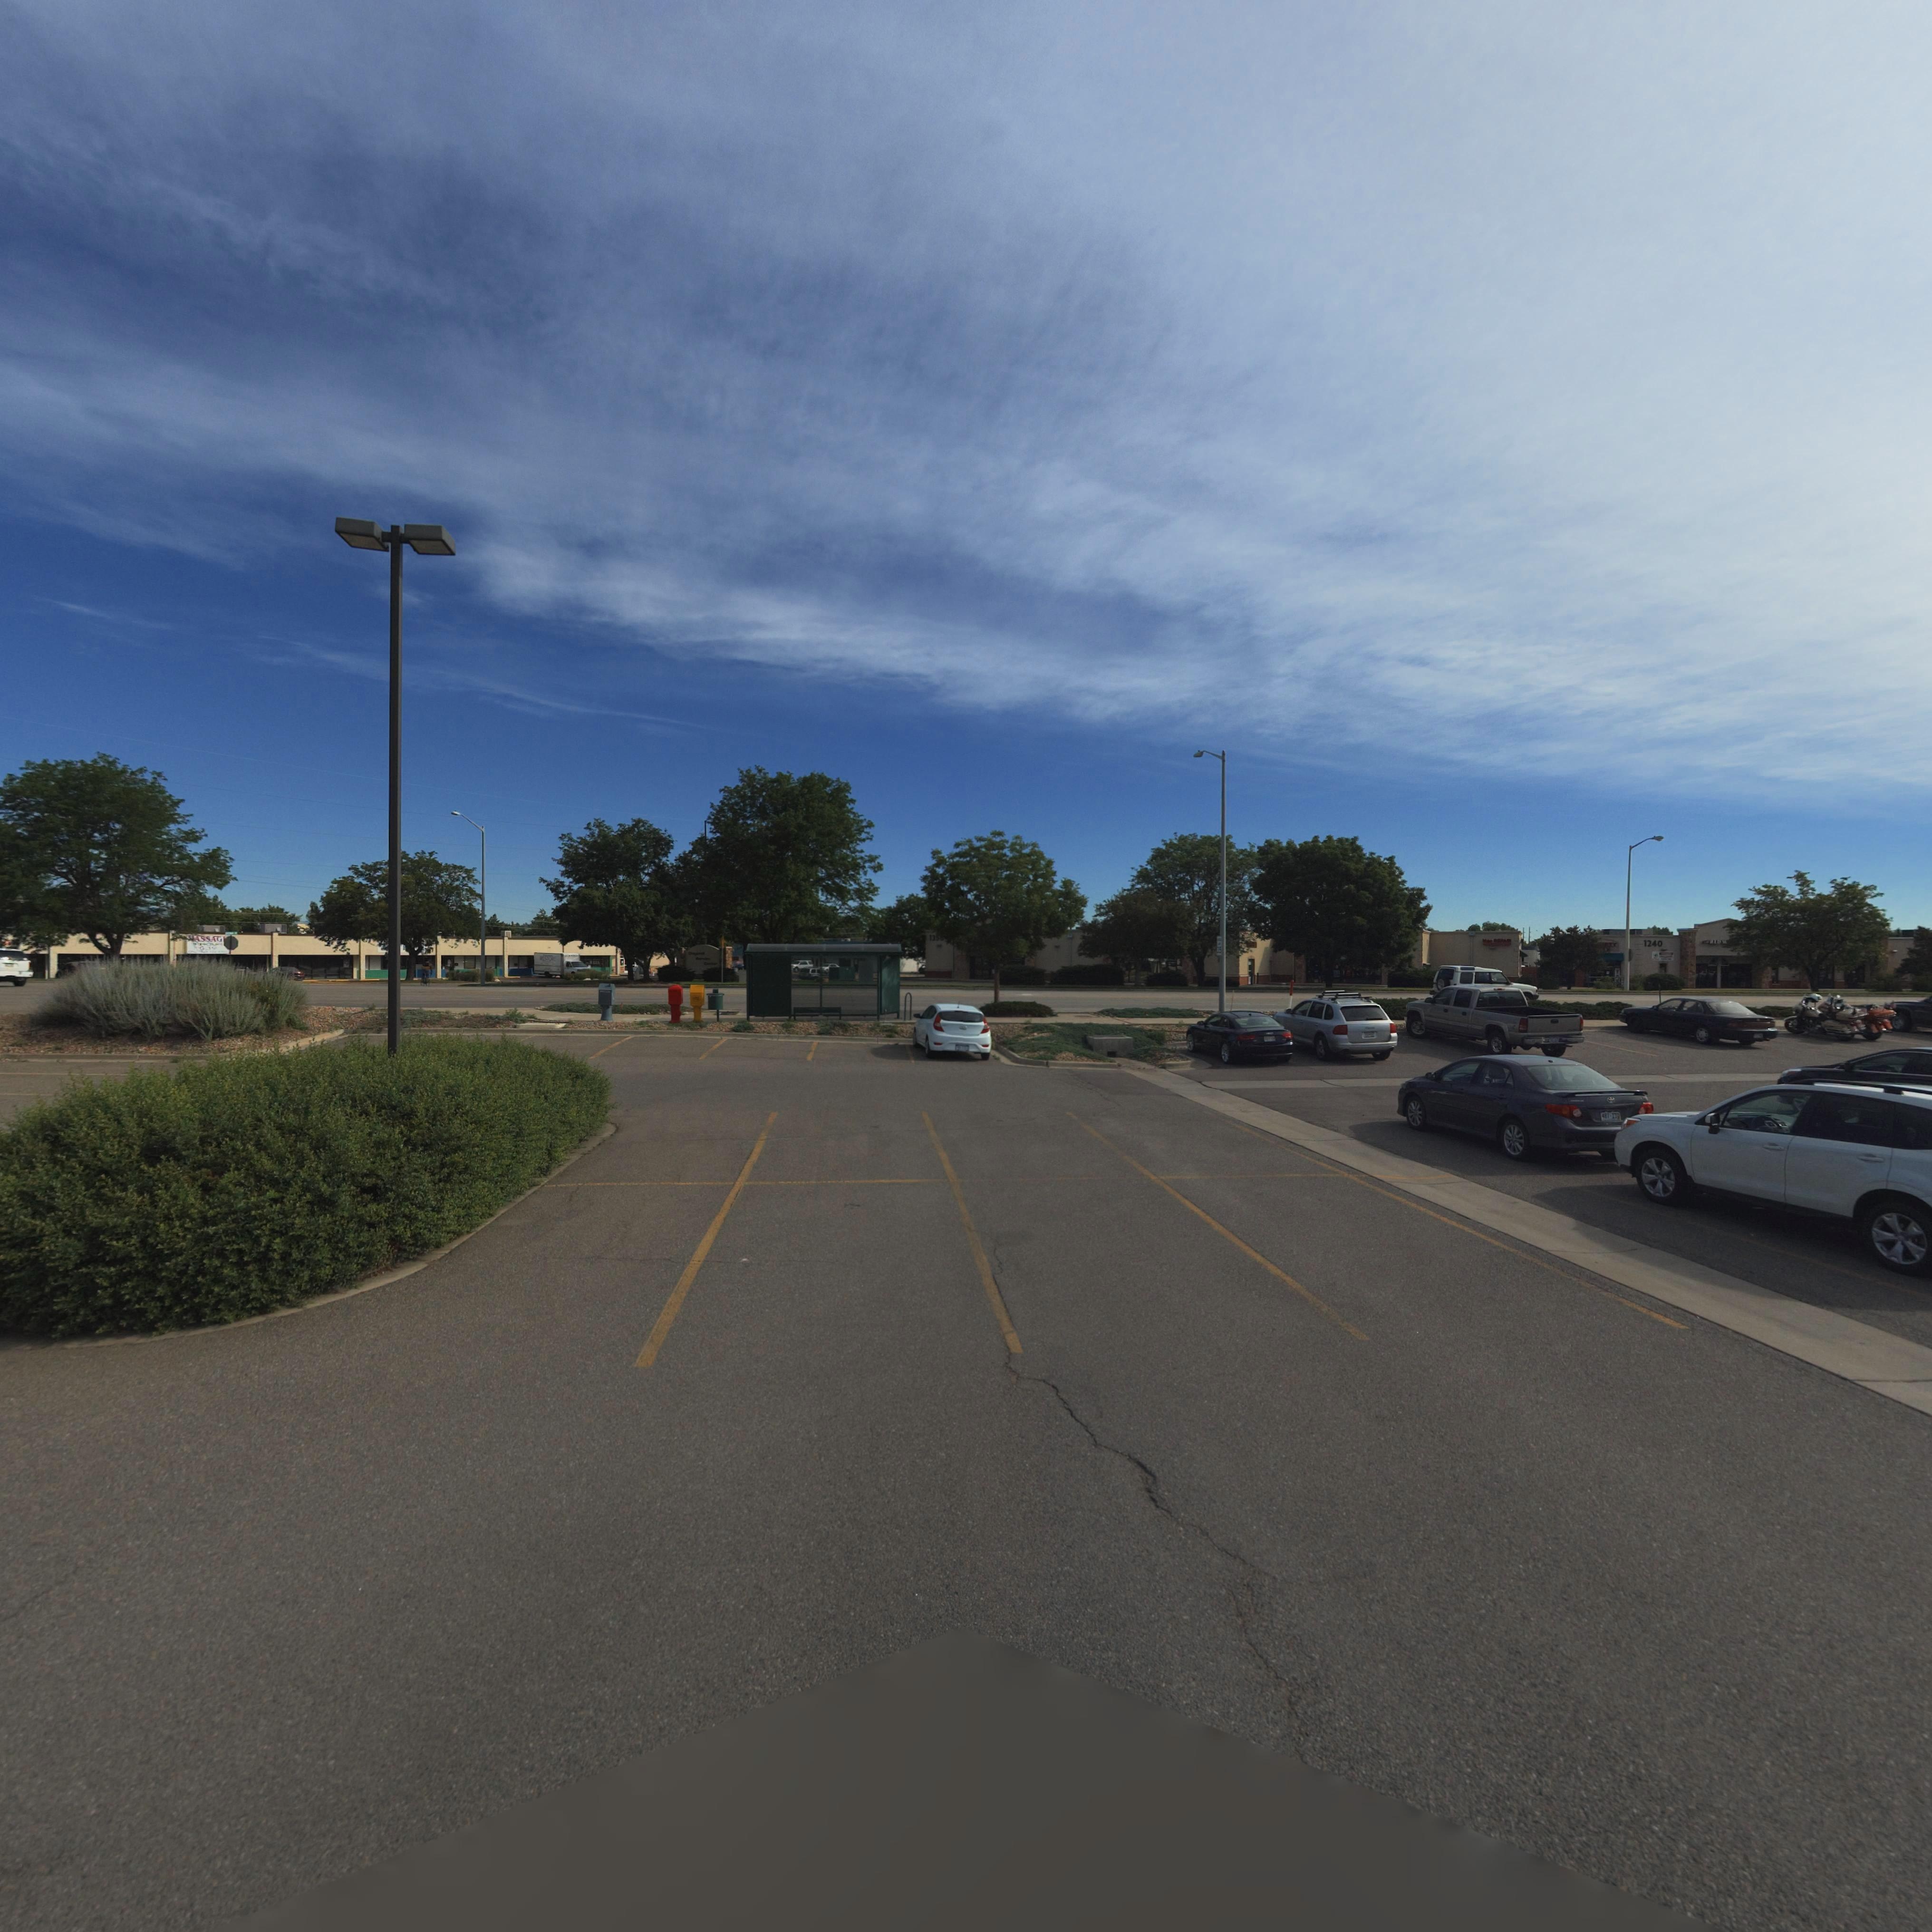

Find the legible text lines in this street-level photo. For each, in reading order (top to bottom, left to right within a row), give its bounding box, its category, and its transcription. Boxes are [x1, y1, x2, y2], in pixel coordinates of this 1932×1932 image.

[188, 935, 222, 942] BusinessName: *ASSAG
[929, 934, 944, 941] StreetNumber: 135*
[1604, 942, 1616, 947] BusinessName: RTY
[1643, 939, 1663, 947] StreetNumber: 1240
[1710, 939, 1726, 944] BusinessName: **D*
[1605, 947, 1611, 952] BusinessName: X
[1615, 969, 1619, 982] BusinessName: T**